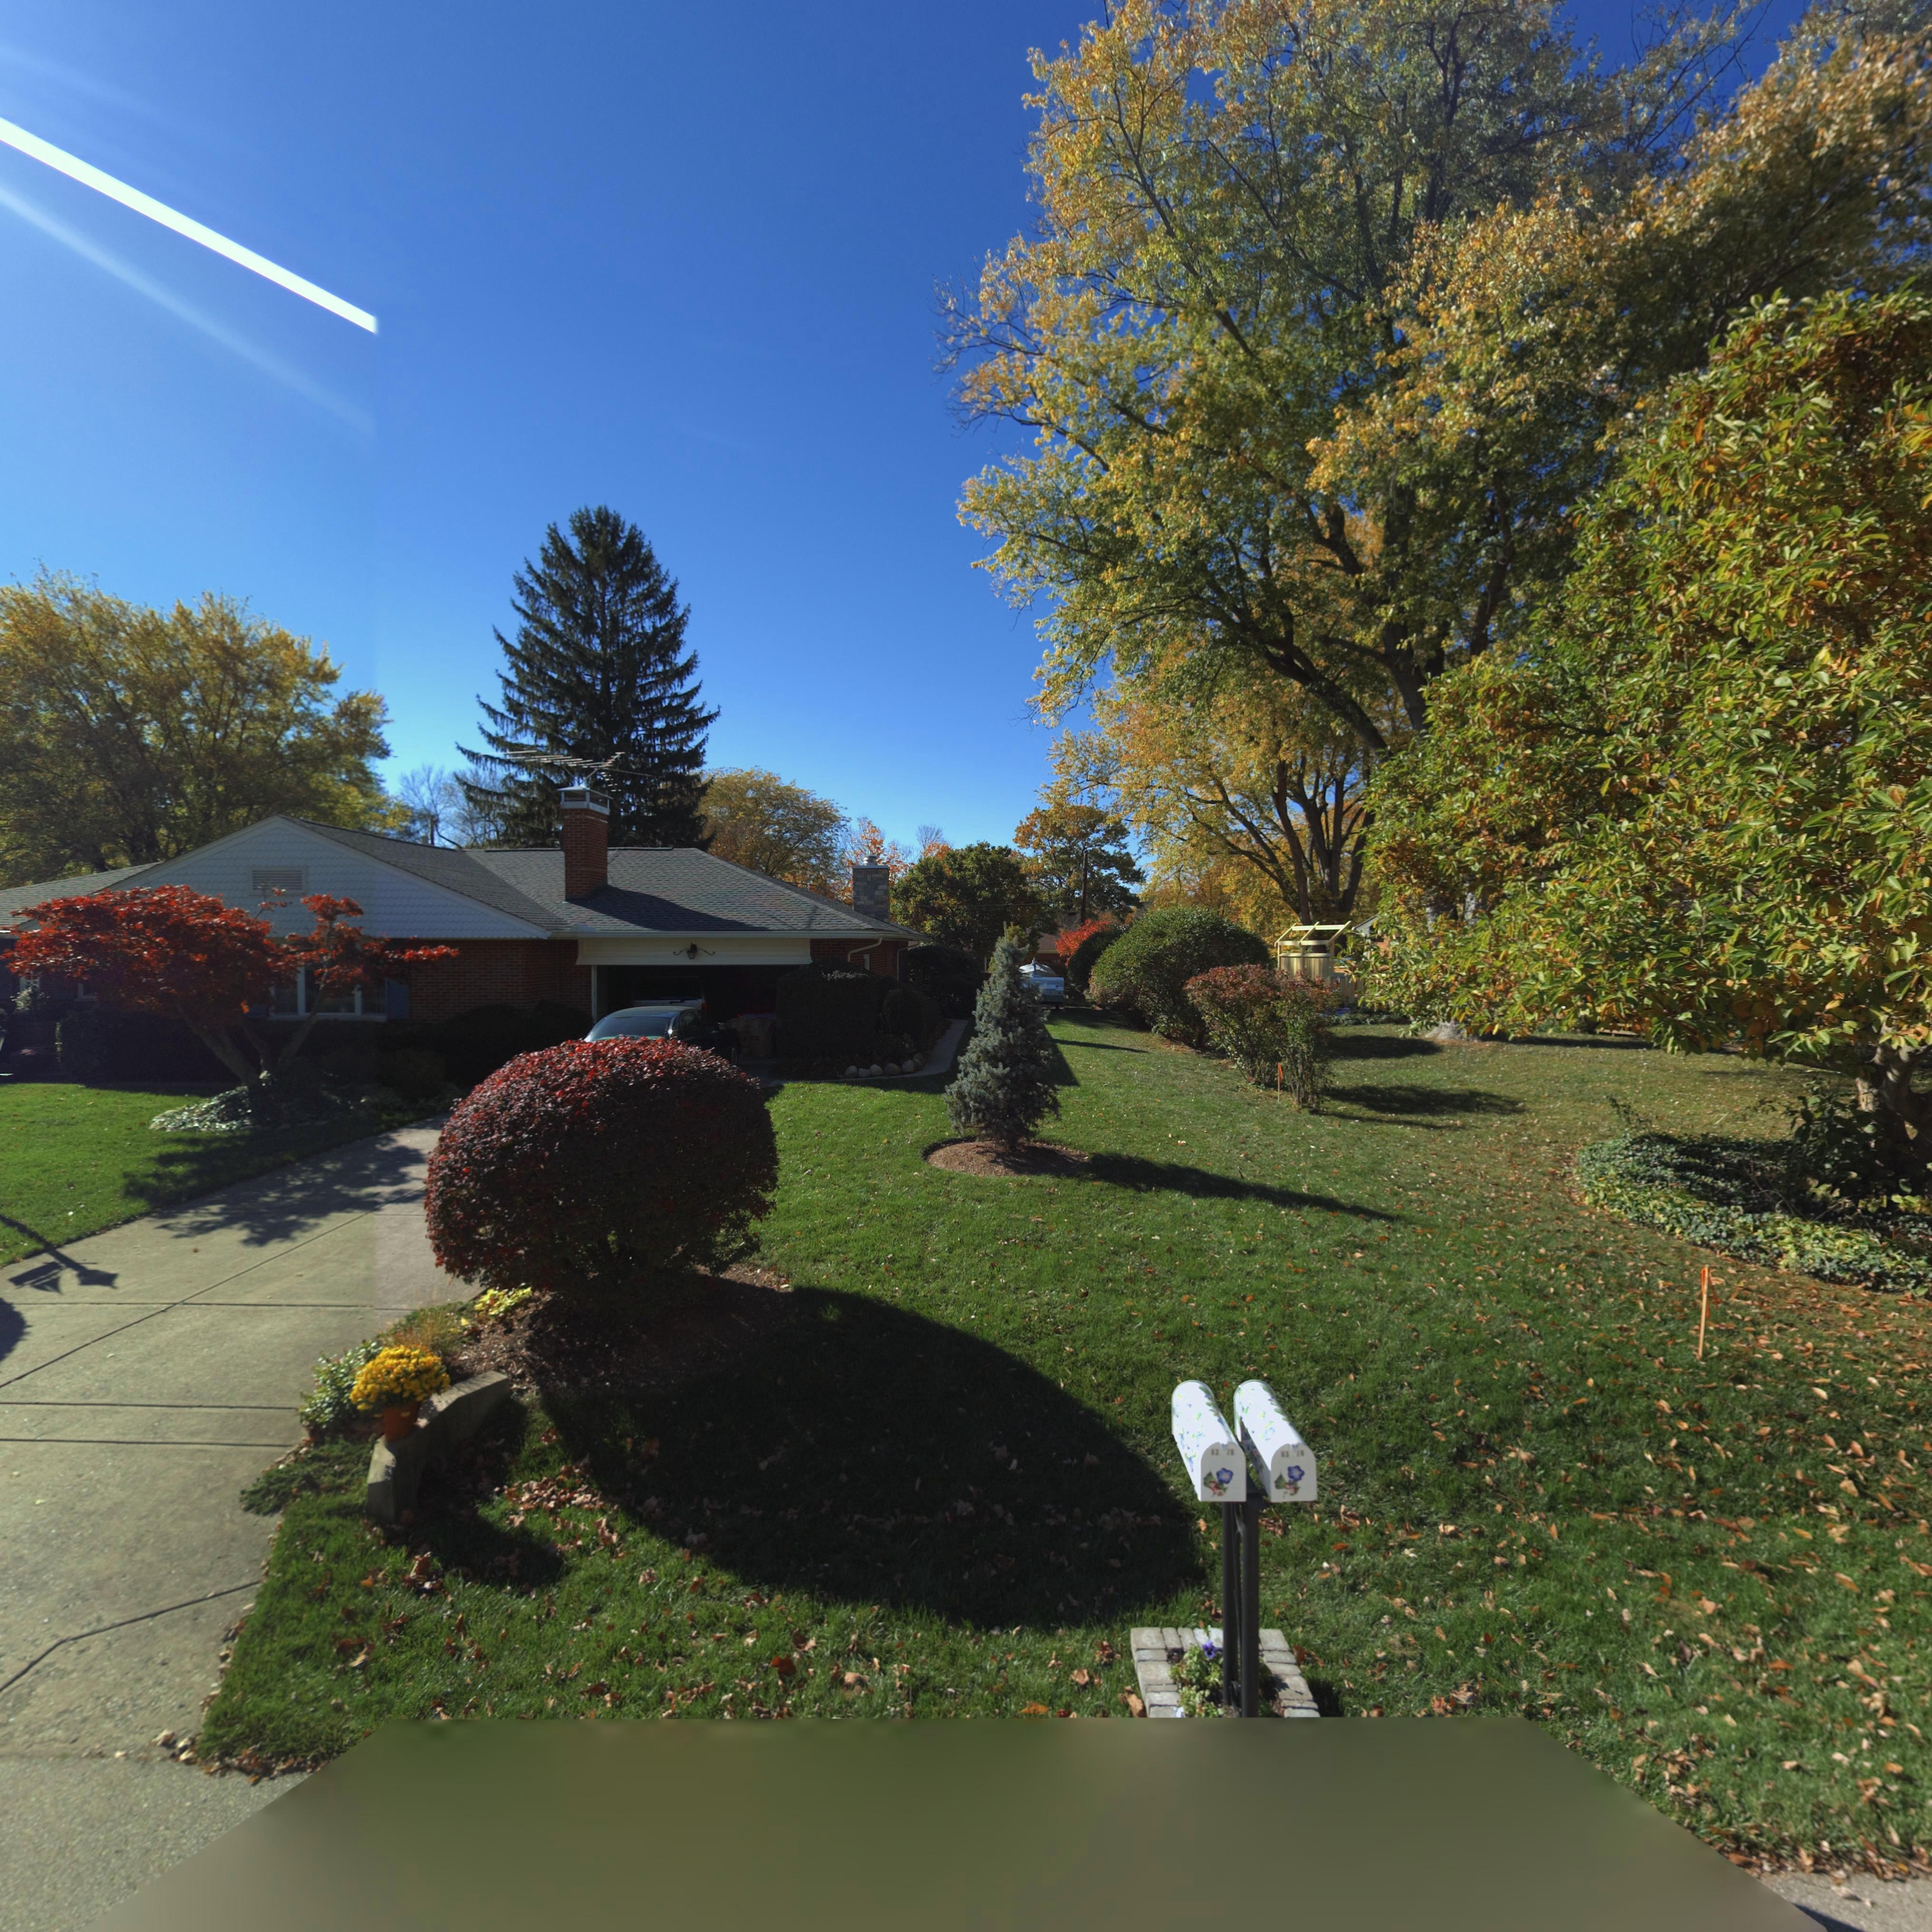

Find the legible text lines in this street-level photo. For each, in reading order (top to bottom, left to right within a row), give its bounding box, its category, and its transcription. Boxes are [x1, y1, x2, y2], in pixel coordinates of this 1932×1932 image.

[1211, 1449, 1235, 1456] StreetNumber: *3 7*
[1280, 1449, 1305, 1458] StreetNumber: *3 **